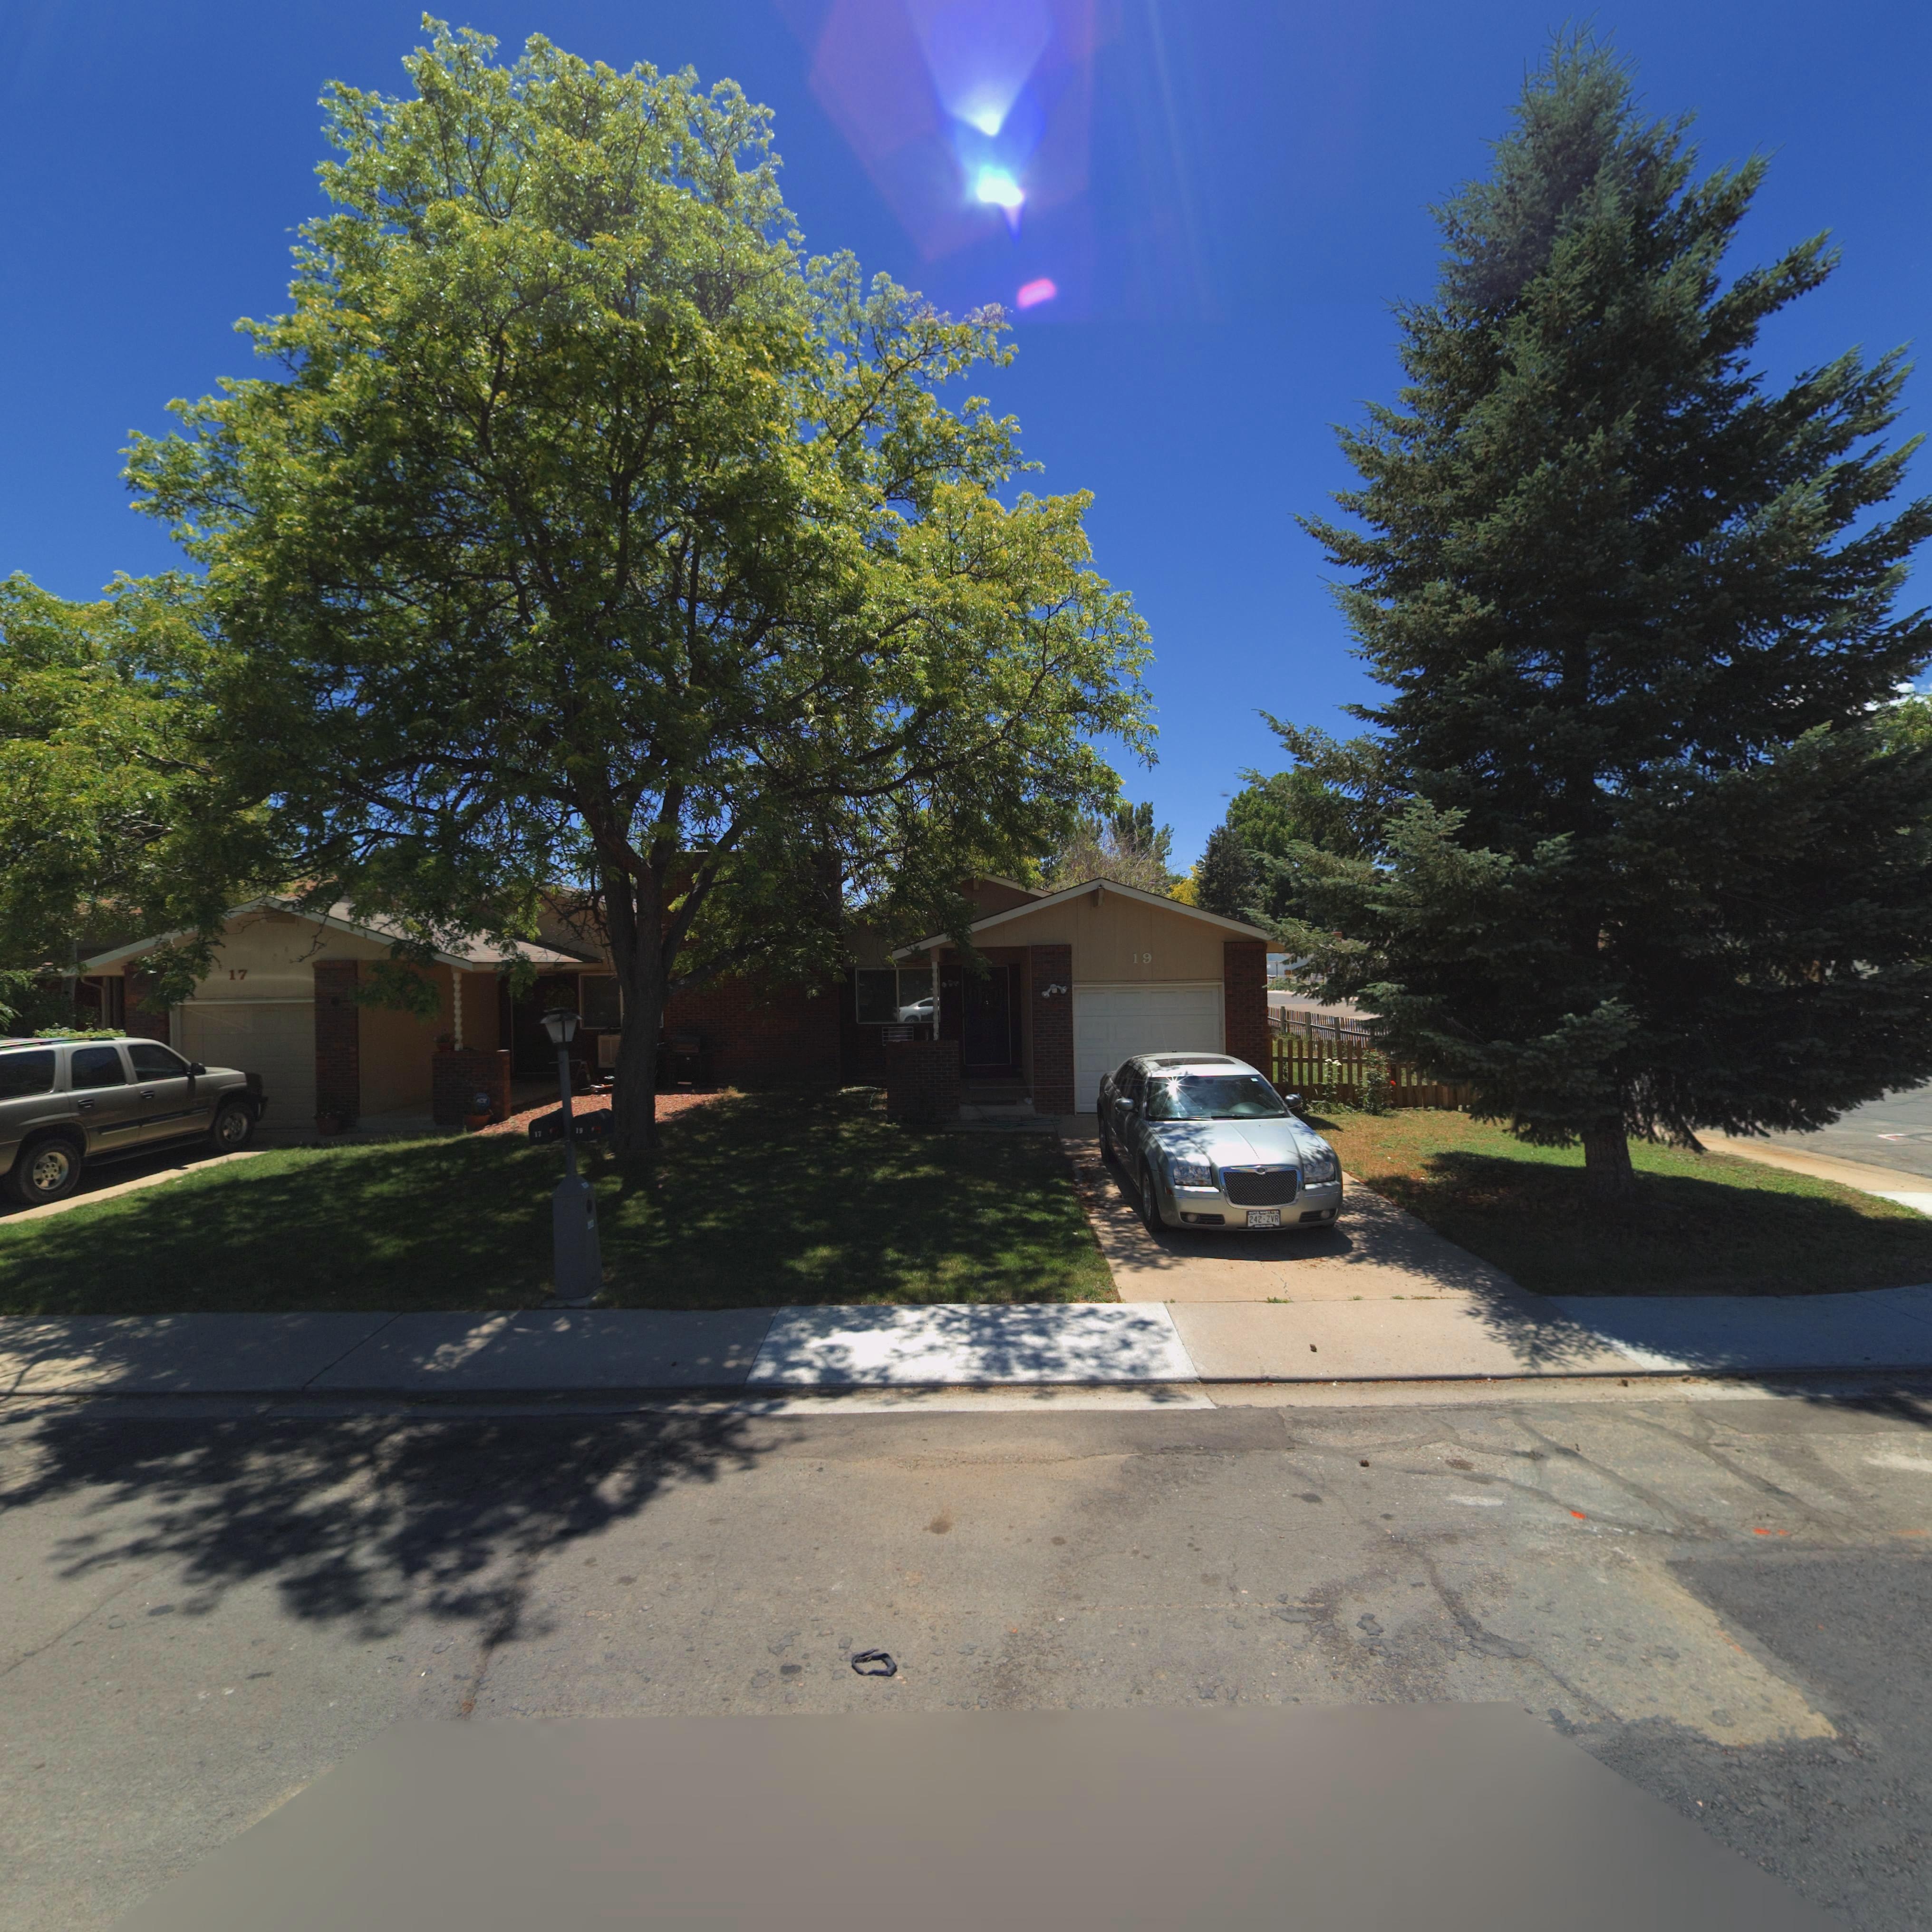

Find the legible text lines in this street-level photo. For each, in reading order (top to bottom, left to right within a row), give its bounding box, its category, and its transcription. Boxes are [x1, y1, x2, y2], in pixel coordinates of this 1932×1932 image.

[1131, 952, 1152, 964] StreetNumber: 19
[533, 1130, 541, 1138] StreetNumber: 17
[575, 1127, 583, 1134] StreetNumber: 19